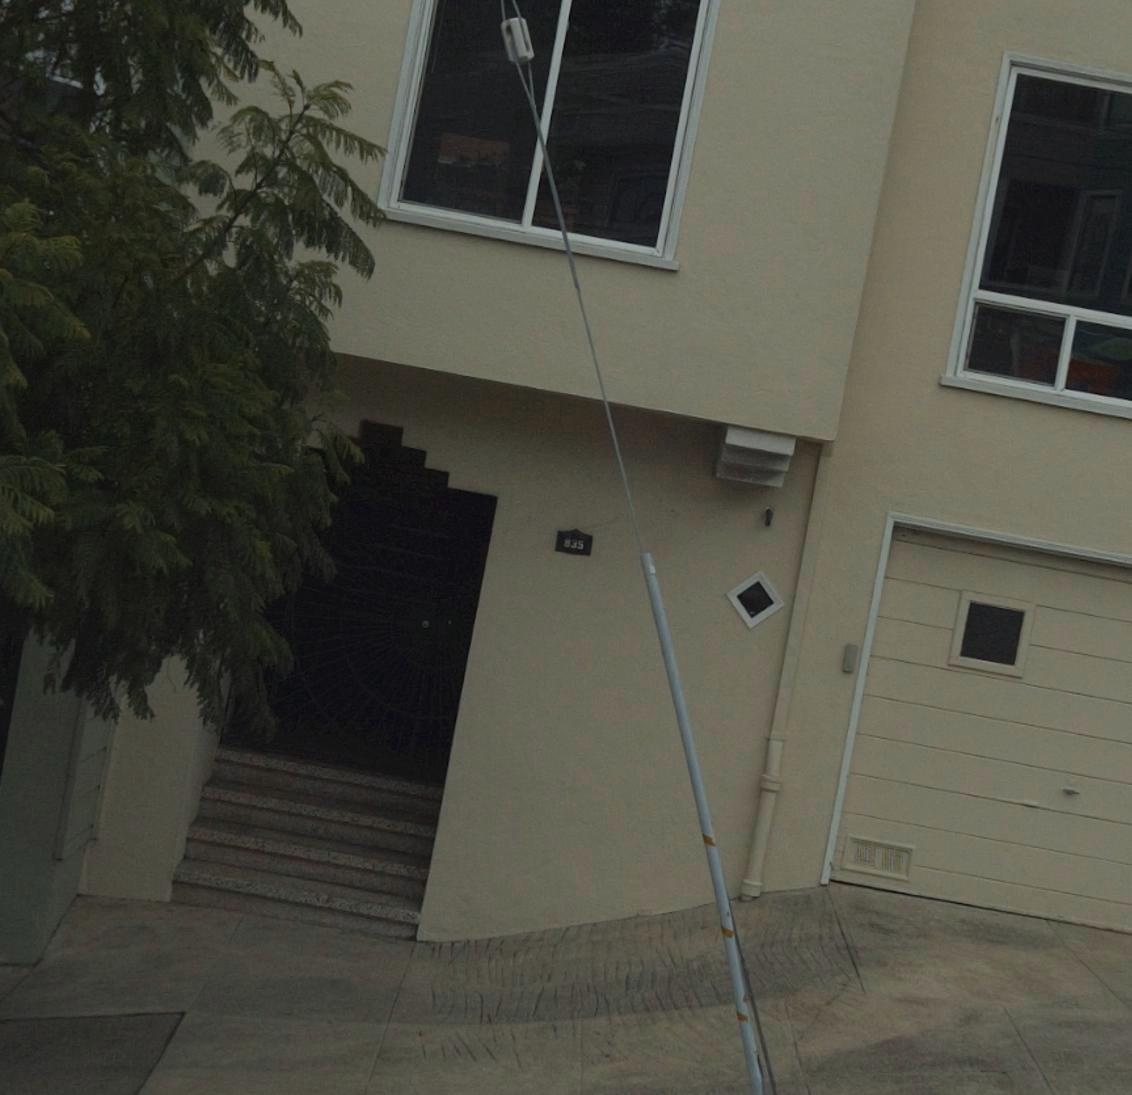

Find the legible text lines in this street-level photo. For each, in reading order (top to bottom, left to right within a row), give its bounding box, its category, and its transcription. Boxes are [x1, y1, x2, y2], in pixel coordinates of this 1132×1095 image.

[561, 537, 586, 551] StreetNumber: 835